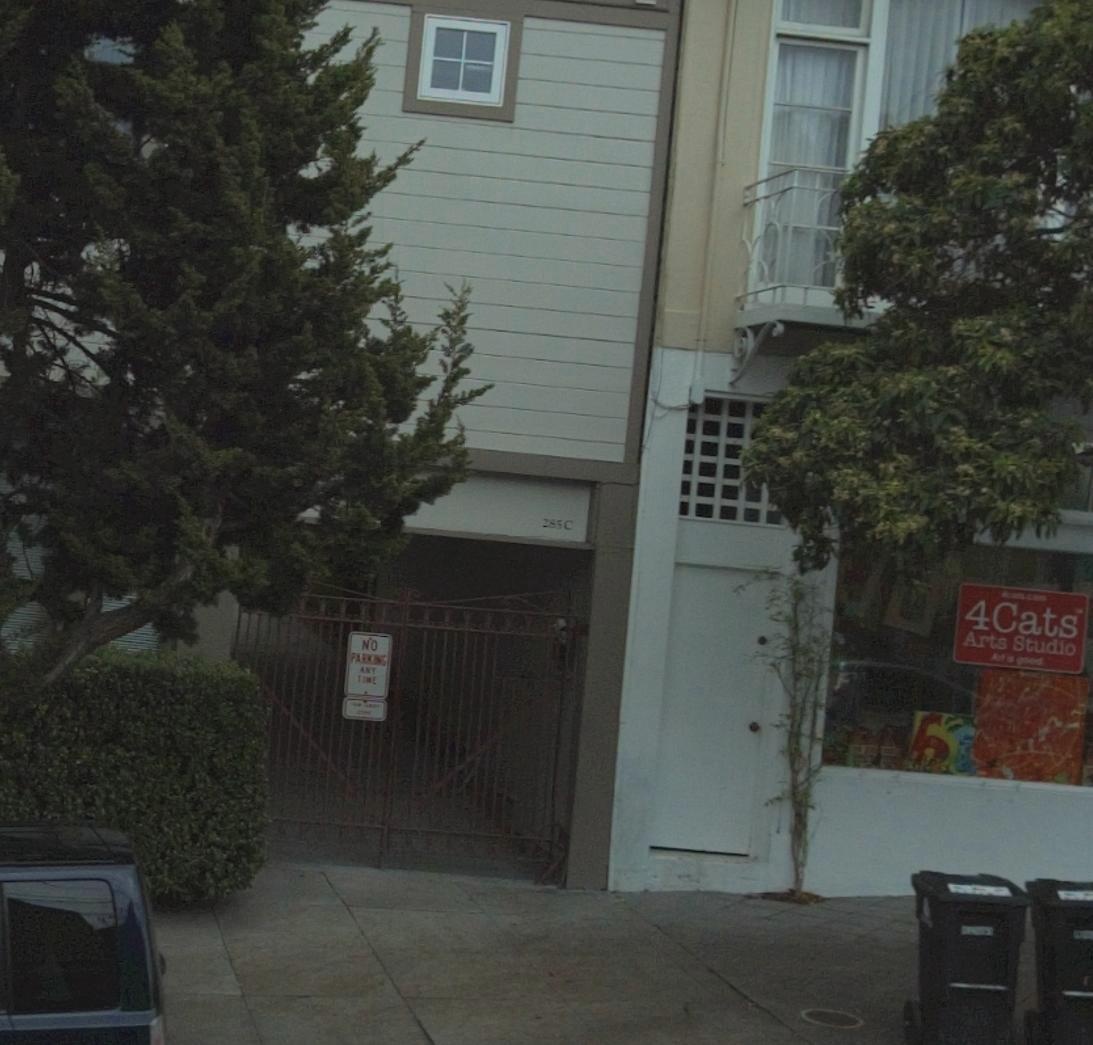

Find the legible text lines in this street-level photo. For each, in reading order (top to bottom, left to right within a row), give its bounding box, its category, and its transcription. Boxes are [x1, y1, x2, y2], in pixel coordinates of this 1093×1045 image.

[541, 517, 574, 531] StreetNumber: 285C
[1001, 590, 1049, 603] None: 4cats.com
[963, 596, 1080, 640] None: 4Cats
[361, 639, 378, 651] None: NO
[960, 631, 1079, 658] None: Arts Studio
[350, 652, 387, 666] None: PARKING
[989, 651, 1047, 667] None: Art is good
[359, 665, 378, 674] None: ANY
[356, 674, 378, 684] None: TIME